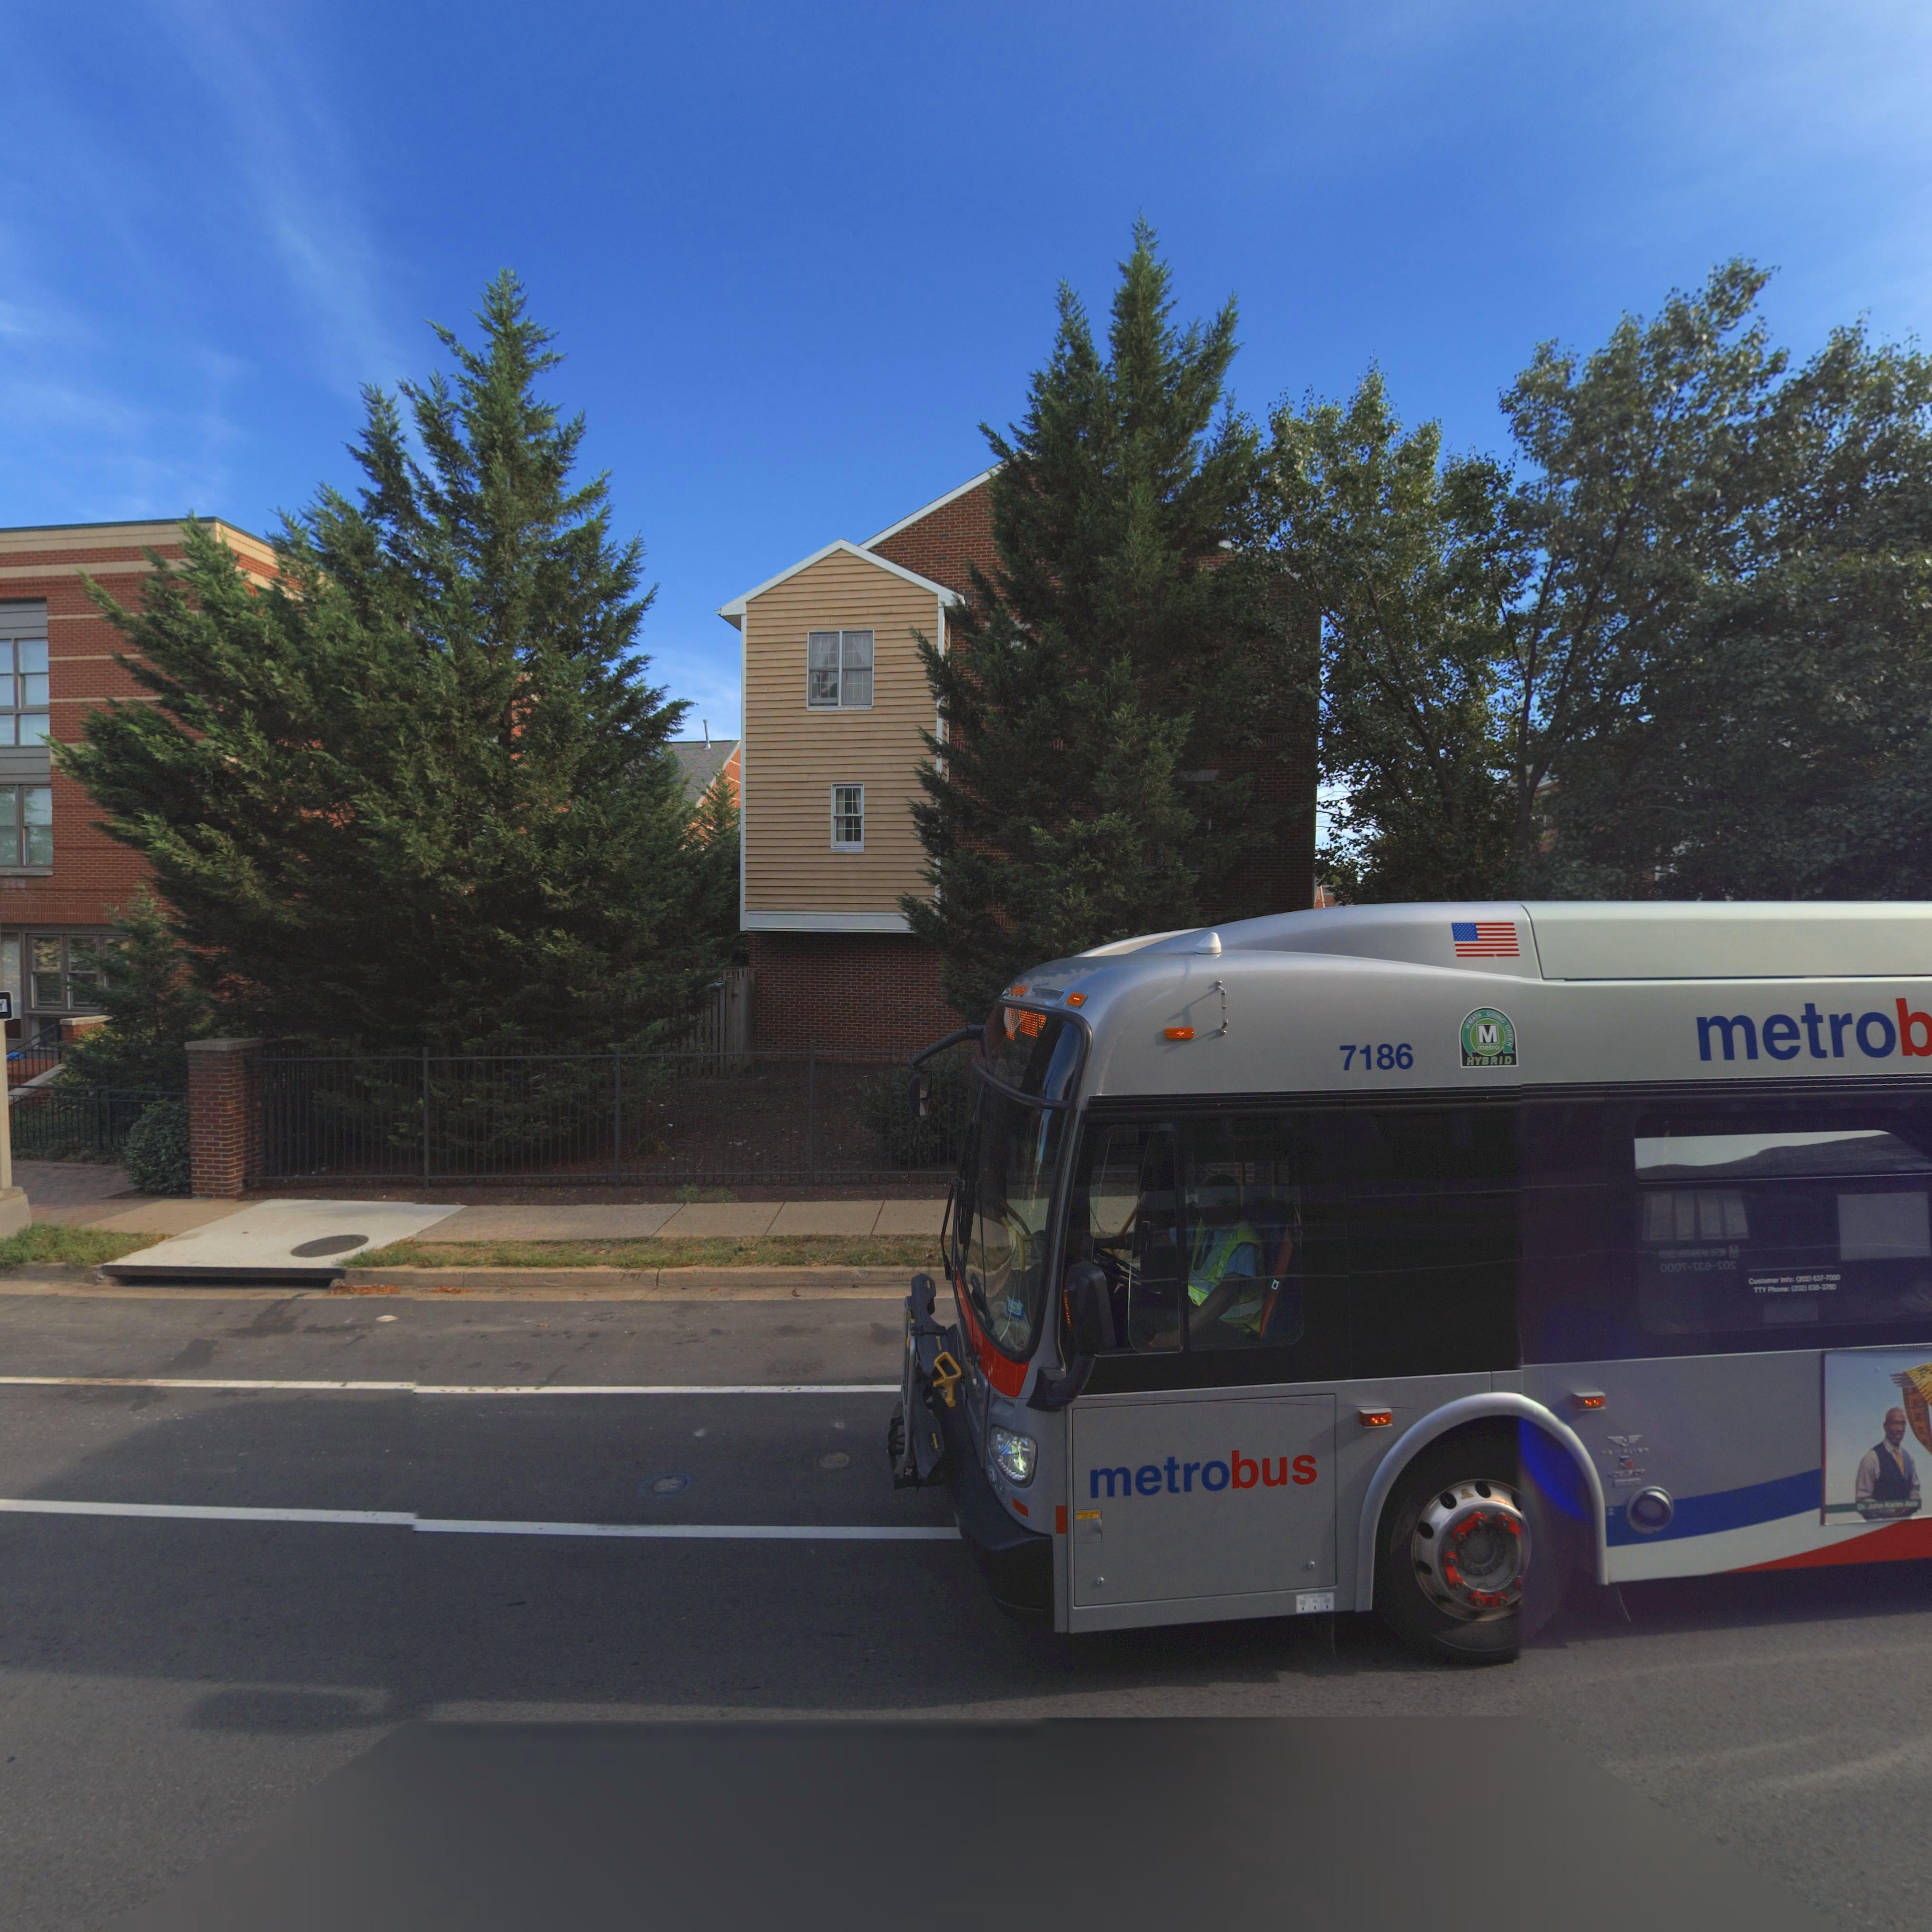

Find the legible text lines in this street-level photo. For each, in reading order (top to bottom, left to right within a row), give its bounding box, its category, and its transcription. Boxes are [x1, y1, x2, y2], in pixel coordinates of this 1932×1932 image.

[1477, 1023, 1499, 1044] None: M
[1462, 1009, 1515, 1049] None: WMATA GOING GREEN
[1693, 998, 1900, 1064] None: metro
[1337, 1041, 1415, 1073] None: 7186
[1476, 1043, 1501, 1051] None: metro
[1464, 1054, 1514, 1067] None: HYBRID
[1658, 1259, 1738, 1274] None: 000*-***-*0*
[1751, 1285, 1768, 1294] None: TTY
[1087, 1445, 1321, 1502] None: metrobus